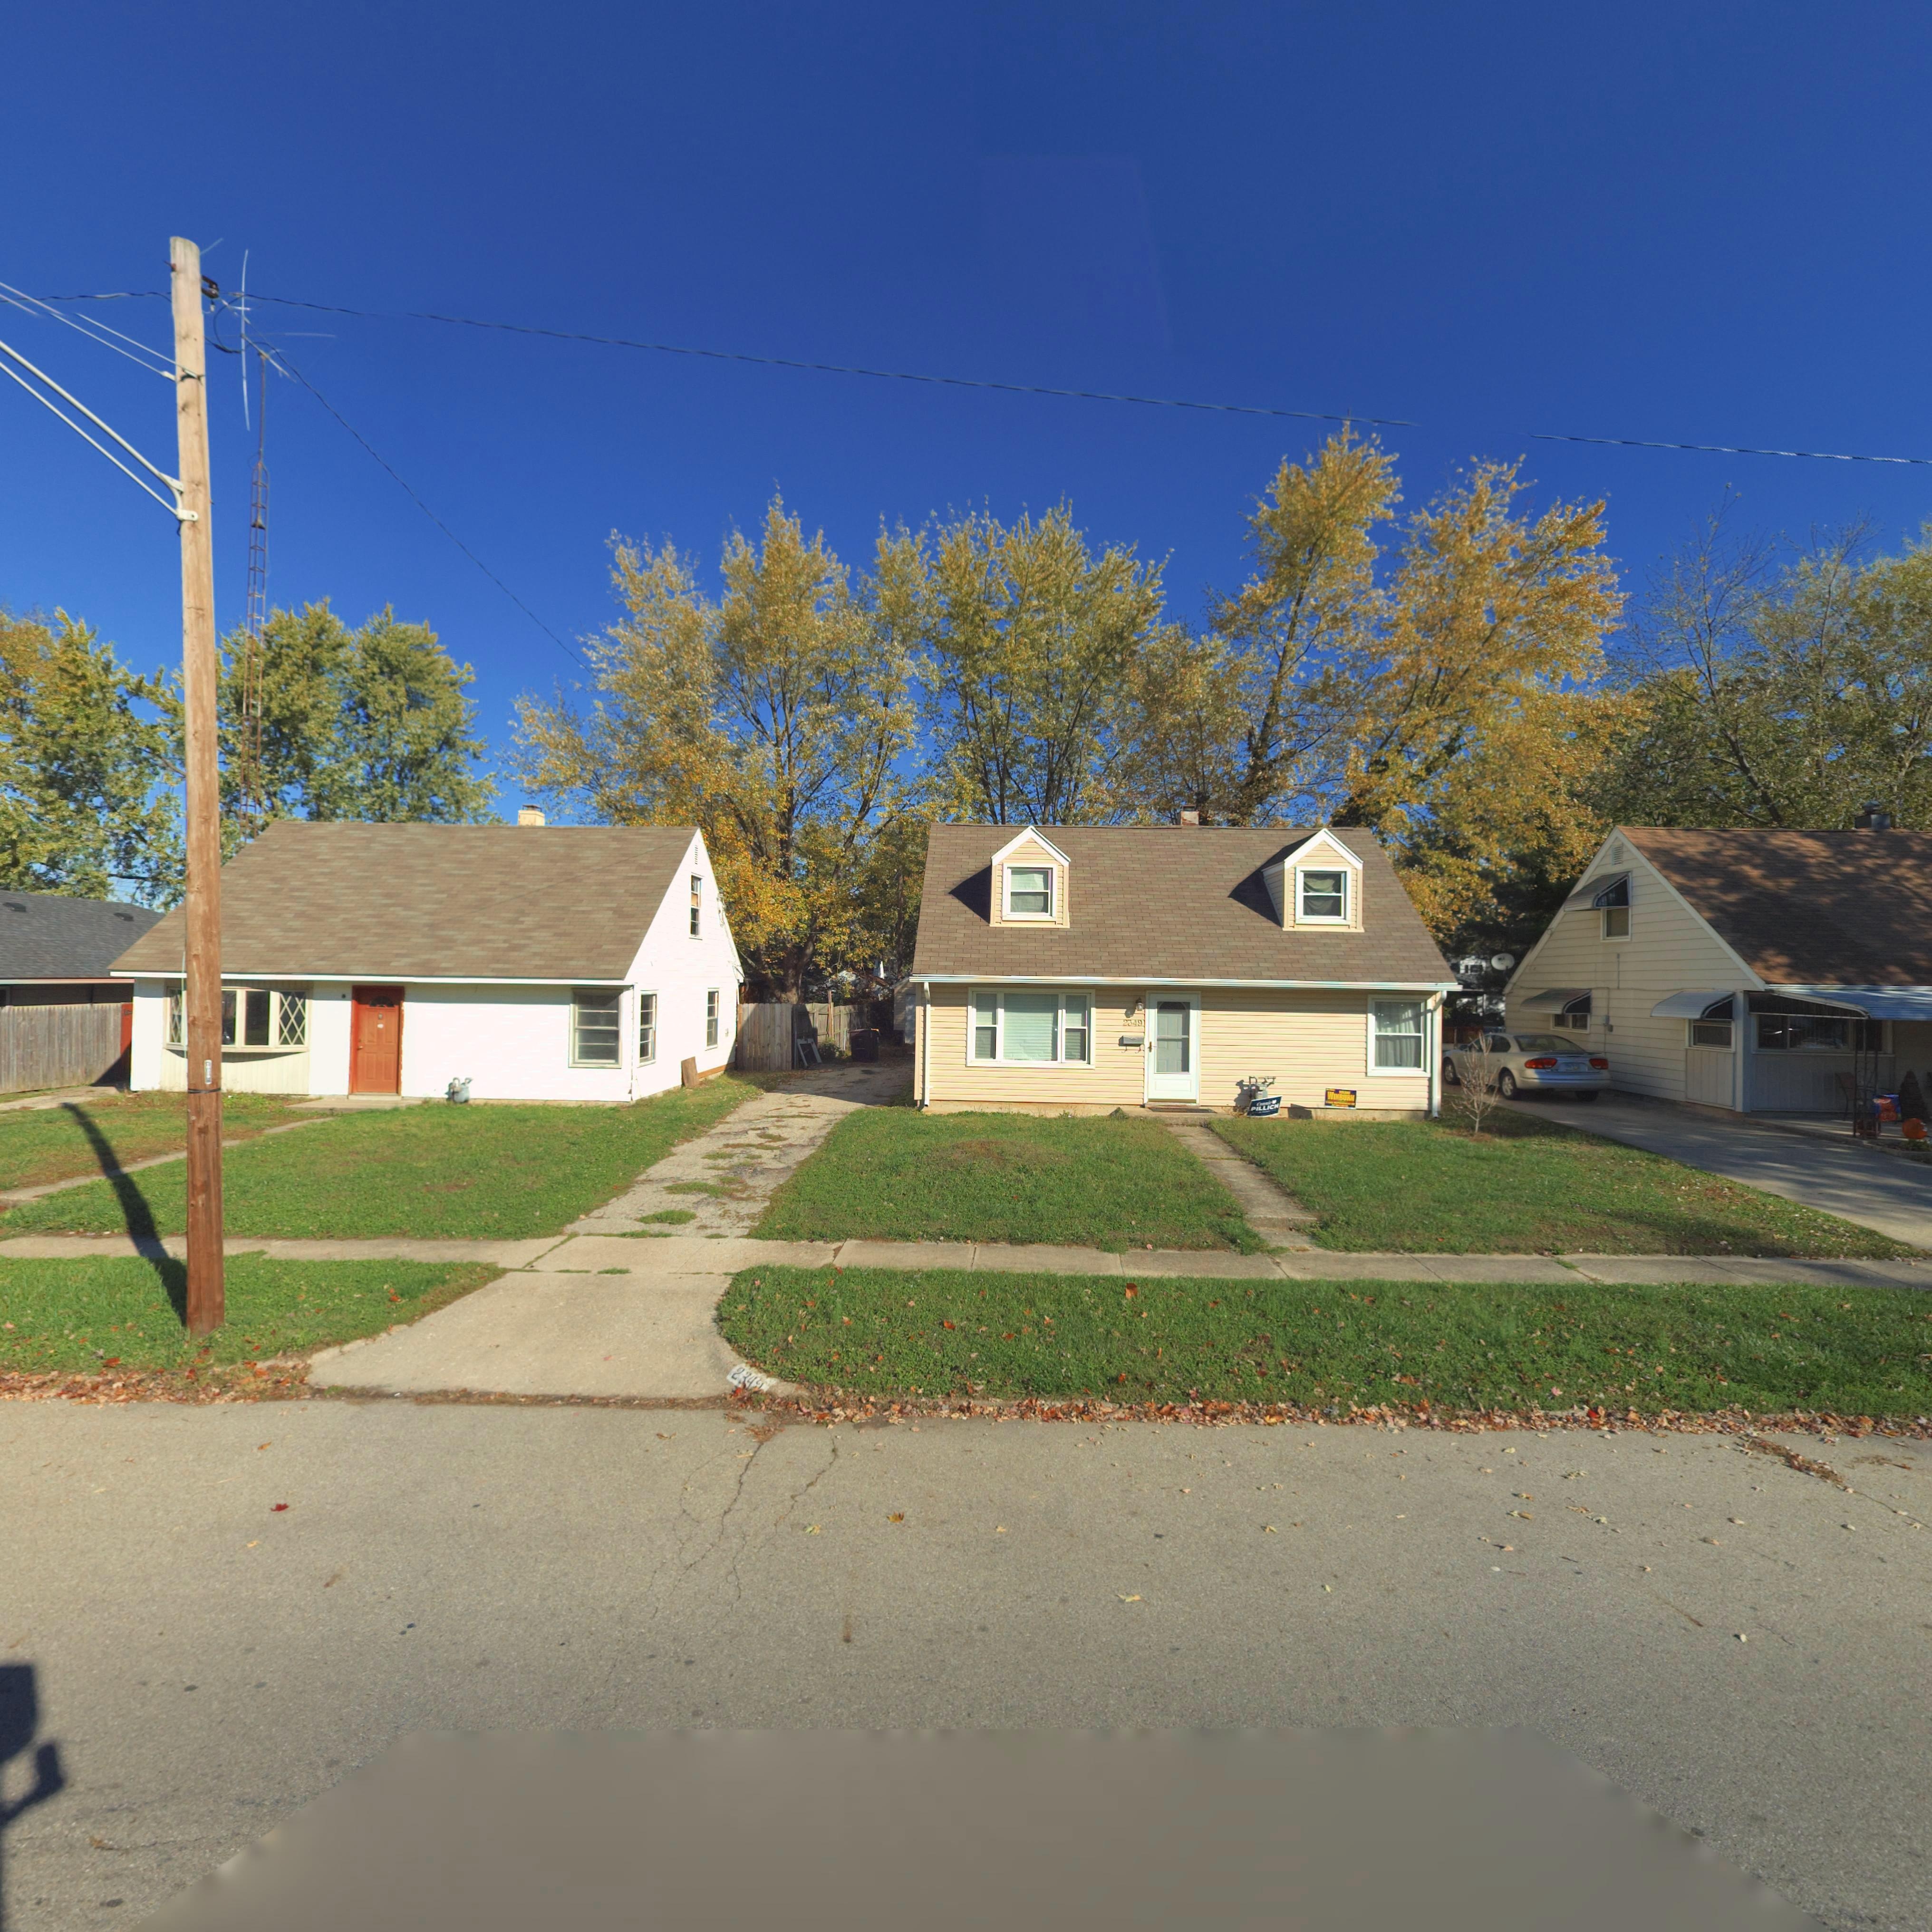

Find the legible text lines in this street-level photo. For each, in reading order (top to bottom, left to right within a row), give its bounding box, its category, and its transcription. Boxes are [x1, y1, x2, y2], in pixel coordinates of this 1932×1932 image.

[1122, 1019, 1143, 1027] StreetNumber: 2349
[729, 1366, 765, 1393] StreetNumber: 23**